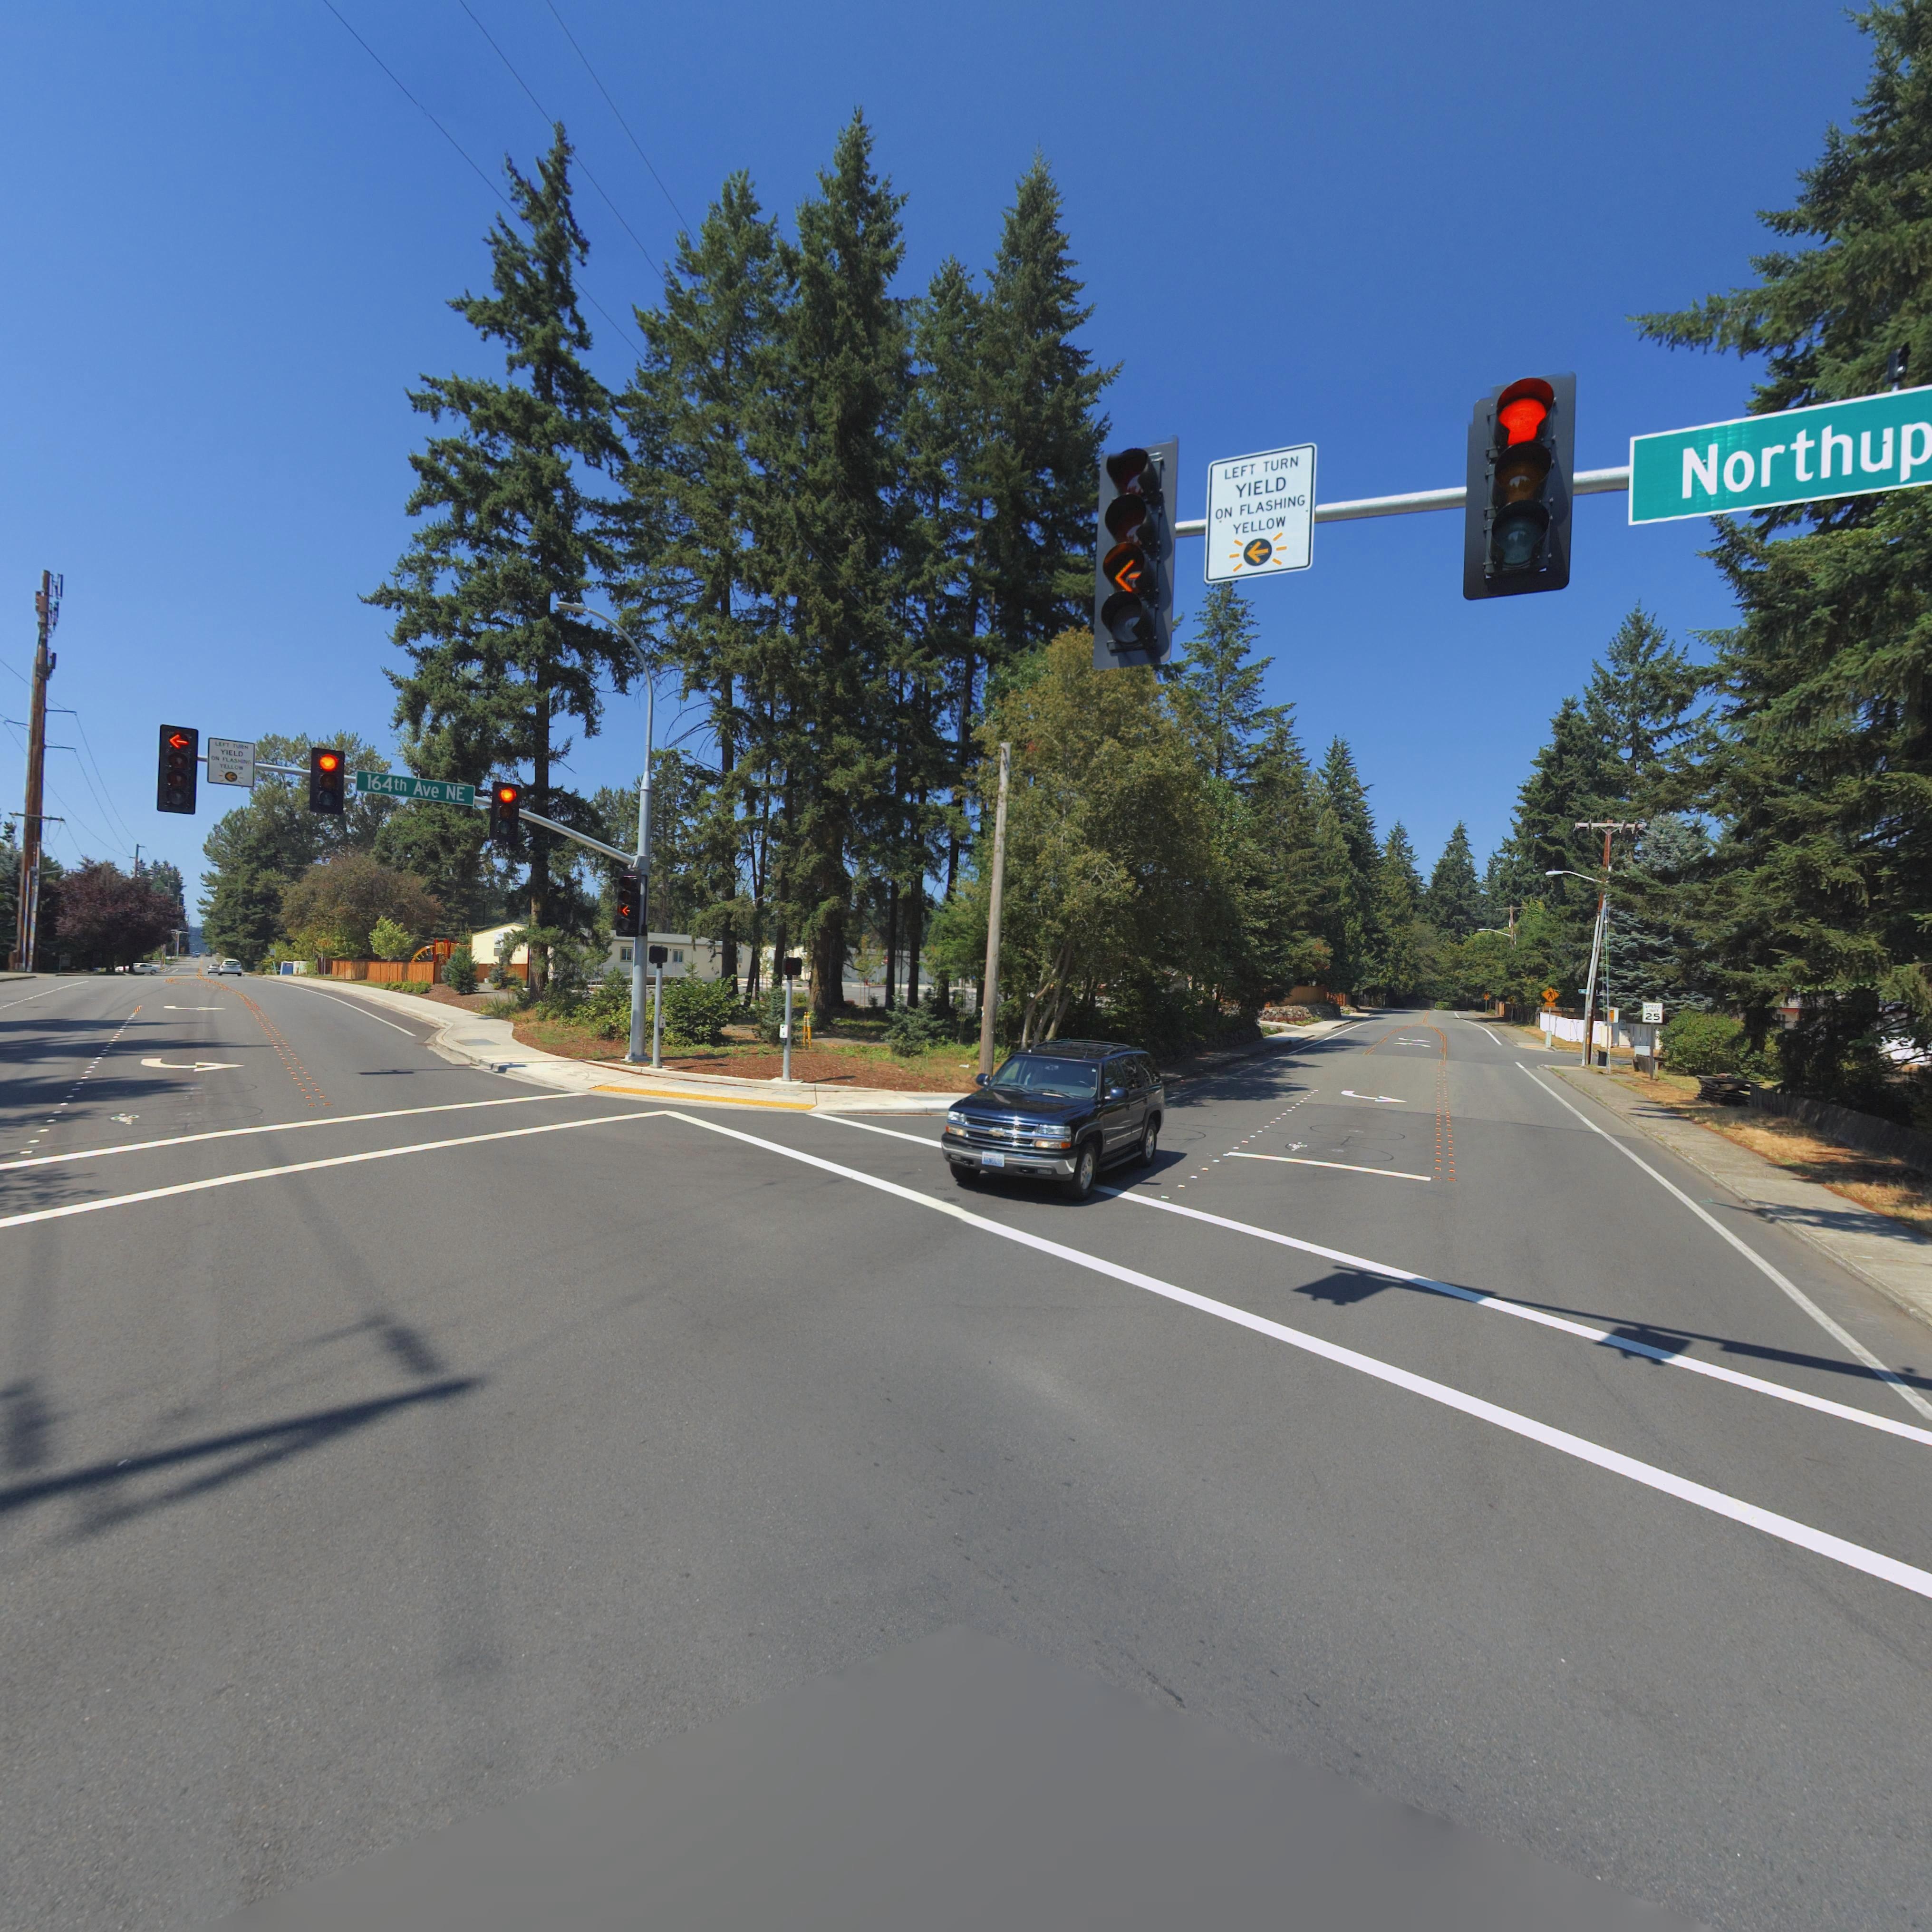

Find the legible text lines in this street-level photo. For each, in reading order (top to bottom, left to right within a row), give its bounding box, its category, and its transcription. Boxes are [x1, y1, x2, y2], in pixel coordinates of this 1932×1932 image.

[1678, 412, 1931, 502] StreetName: Northup
[367, 773, 465, 802] StreetName: 164th Ave NE